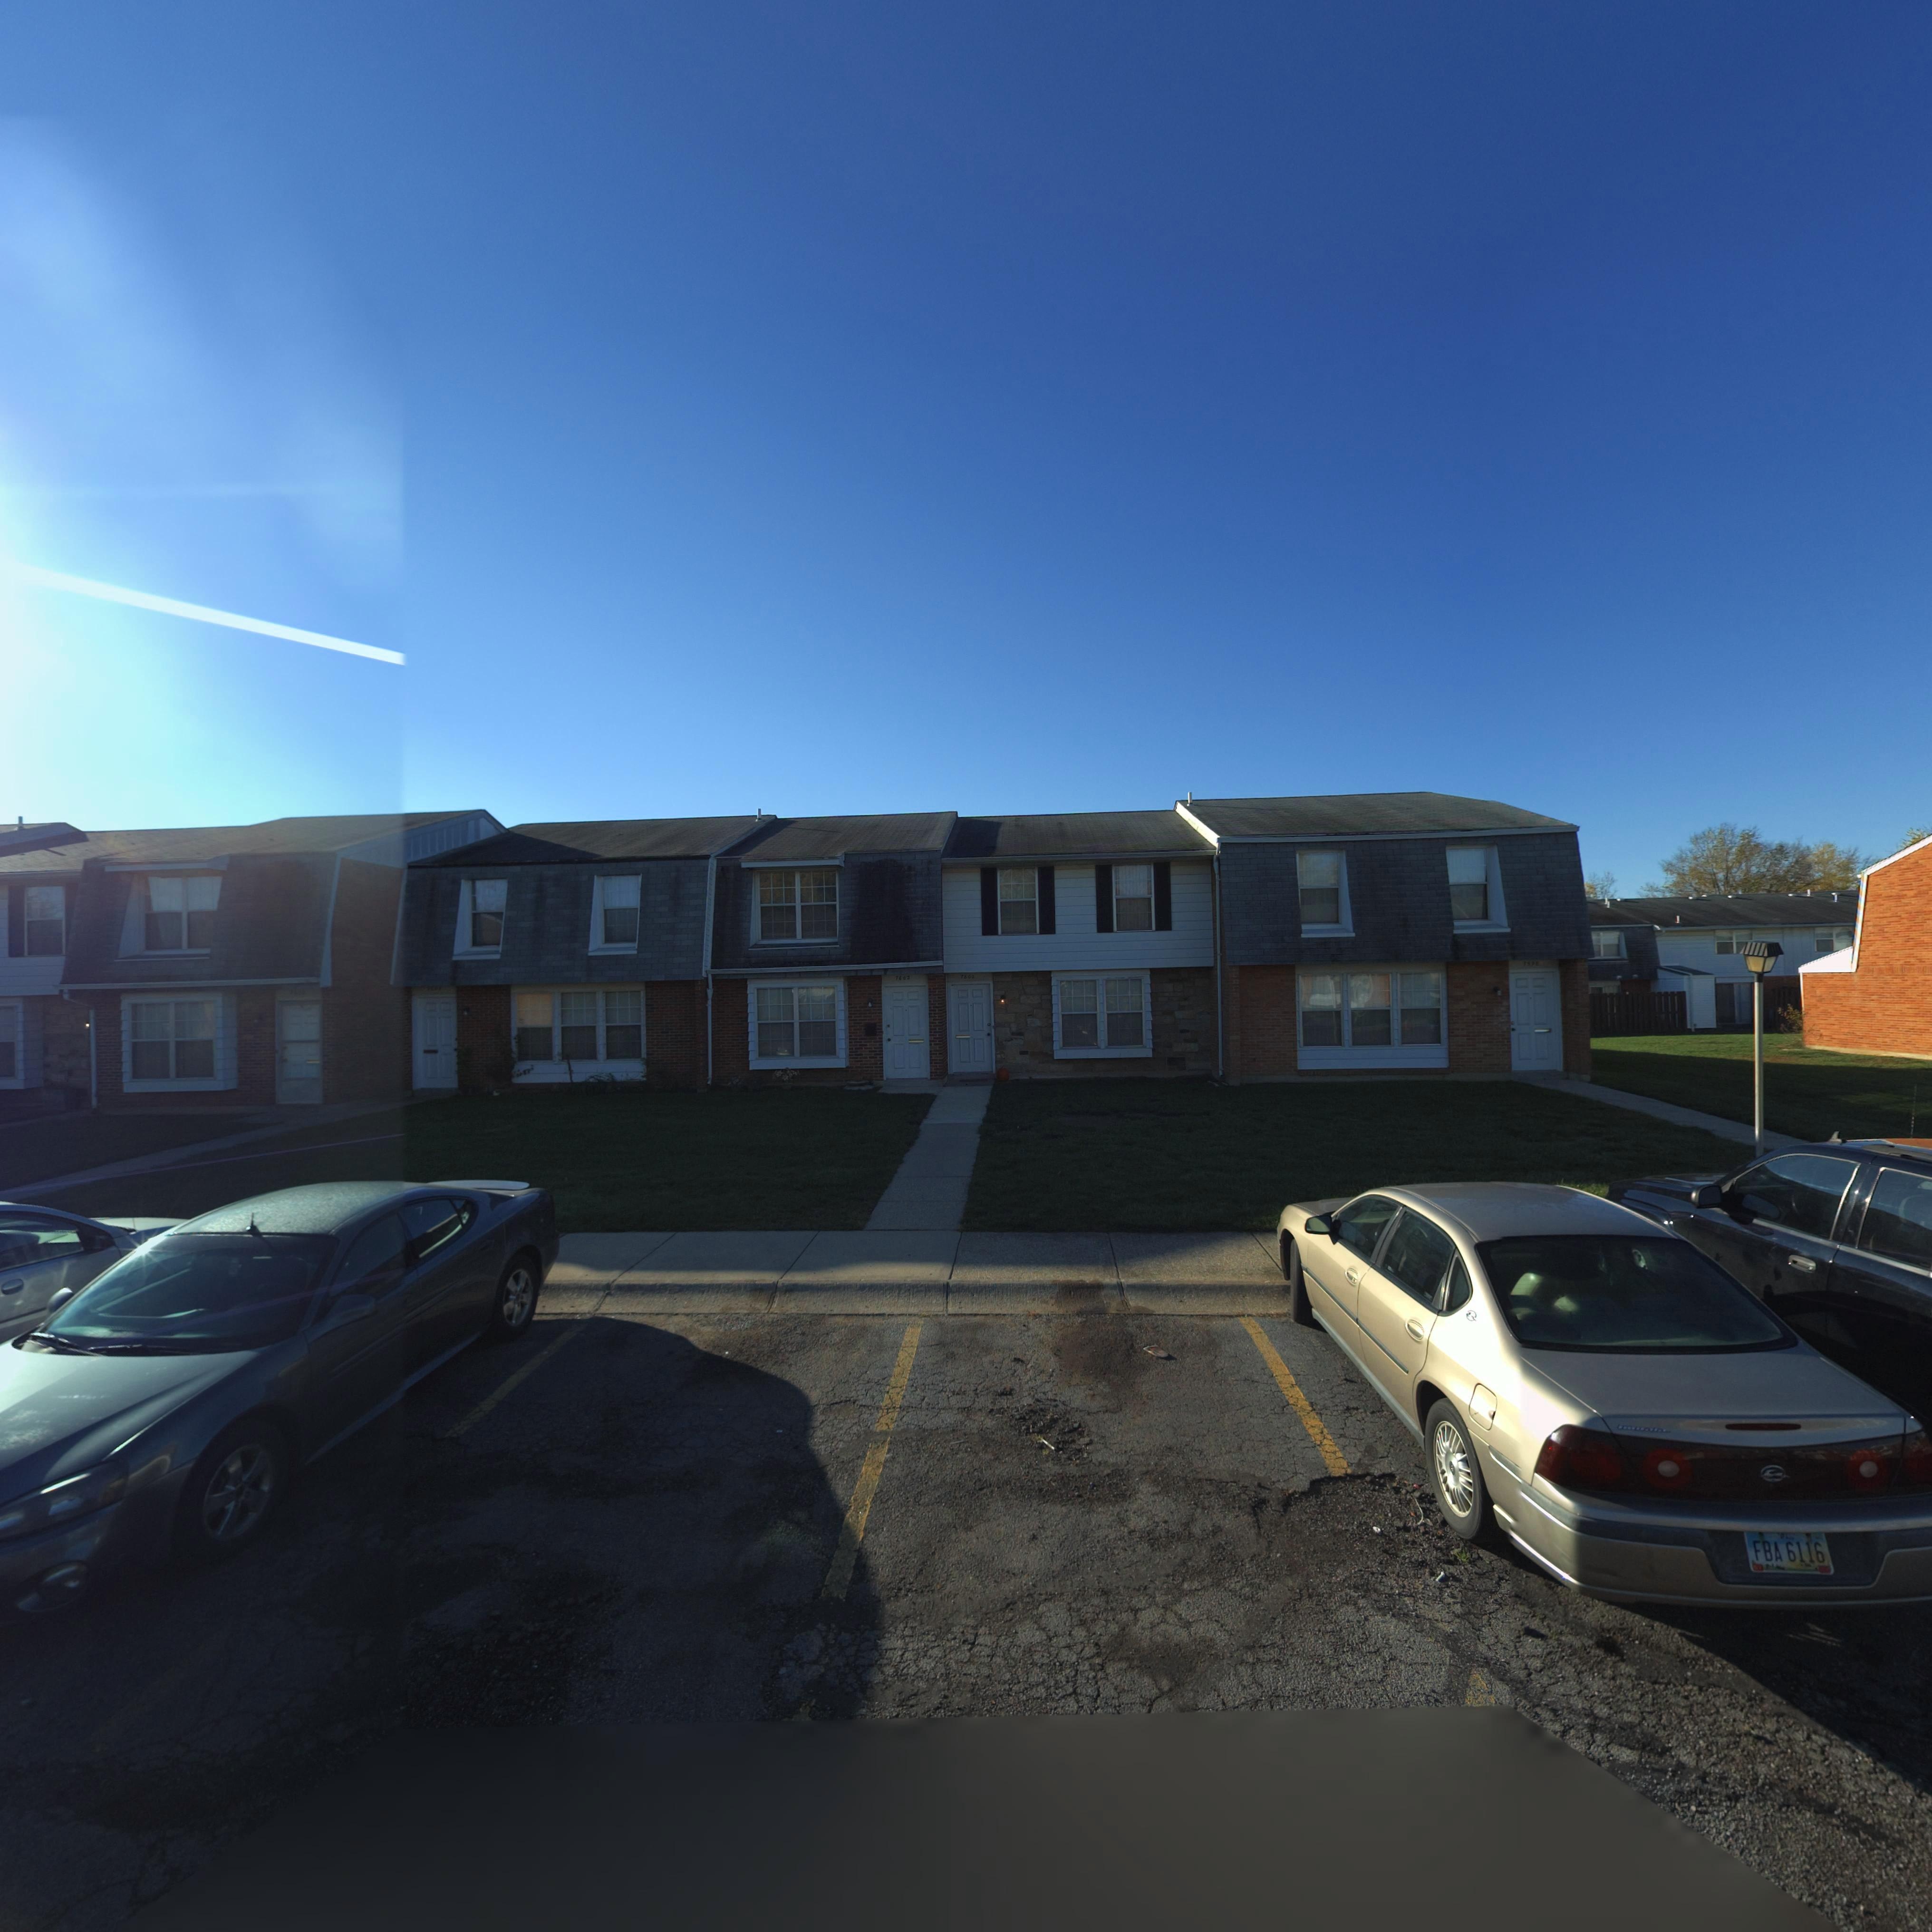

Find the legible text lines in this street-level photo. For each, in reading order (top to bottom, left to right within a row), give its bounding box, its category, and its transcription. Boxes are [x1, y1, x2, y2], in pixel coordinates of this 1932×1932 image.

[1522, 961, 1540, 967] StreetNumber: 7598
[895, 975, 911, 981] StreetNumber: 7602
[960, 974, 975, 979] StreetNumber: 7600
[425, 985, 443, 992] StreetNumber: 760*
[289, 988, 308, 995] StreetNumber: 7606